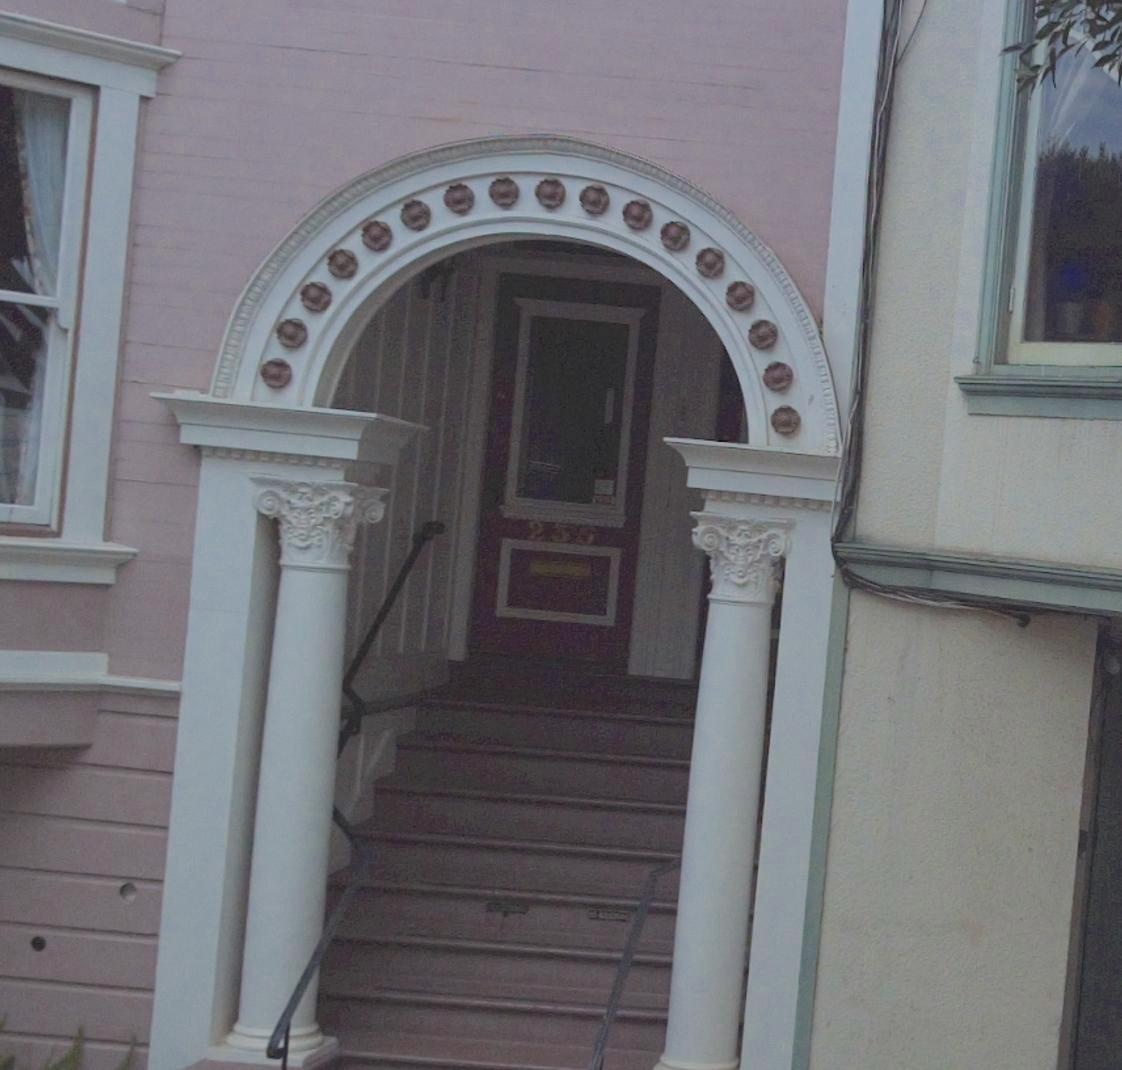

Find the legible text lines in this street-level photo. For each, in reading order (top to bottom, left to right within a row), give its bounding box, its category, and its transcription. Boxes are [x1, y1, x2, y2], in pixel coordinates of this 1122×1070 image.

[522, 517, 602, 550] StreetNumber: 235